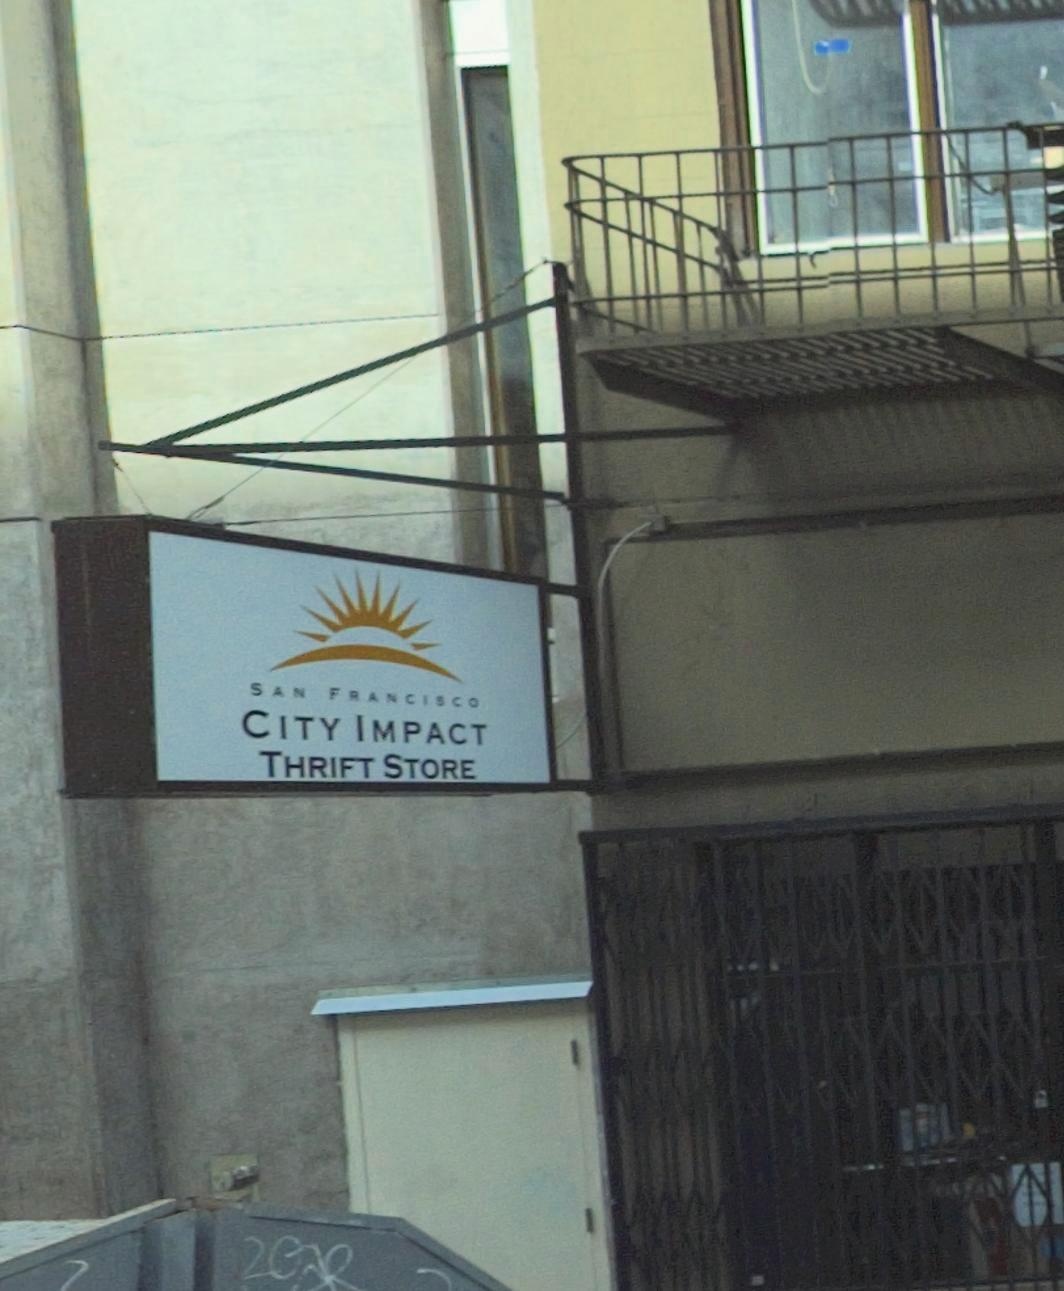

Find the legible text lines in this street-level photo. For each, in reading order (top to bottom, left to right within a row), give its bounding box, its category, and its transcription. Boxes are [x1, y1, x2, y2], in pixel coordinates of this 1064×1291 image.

[245, 678, 482, 710] None: SAN FRANCISCO
[236, 707, 496, 749] BusinessName: CITY IMPACT
[255, 746, 478, 781] BusinessName: THRIFT STORE